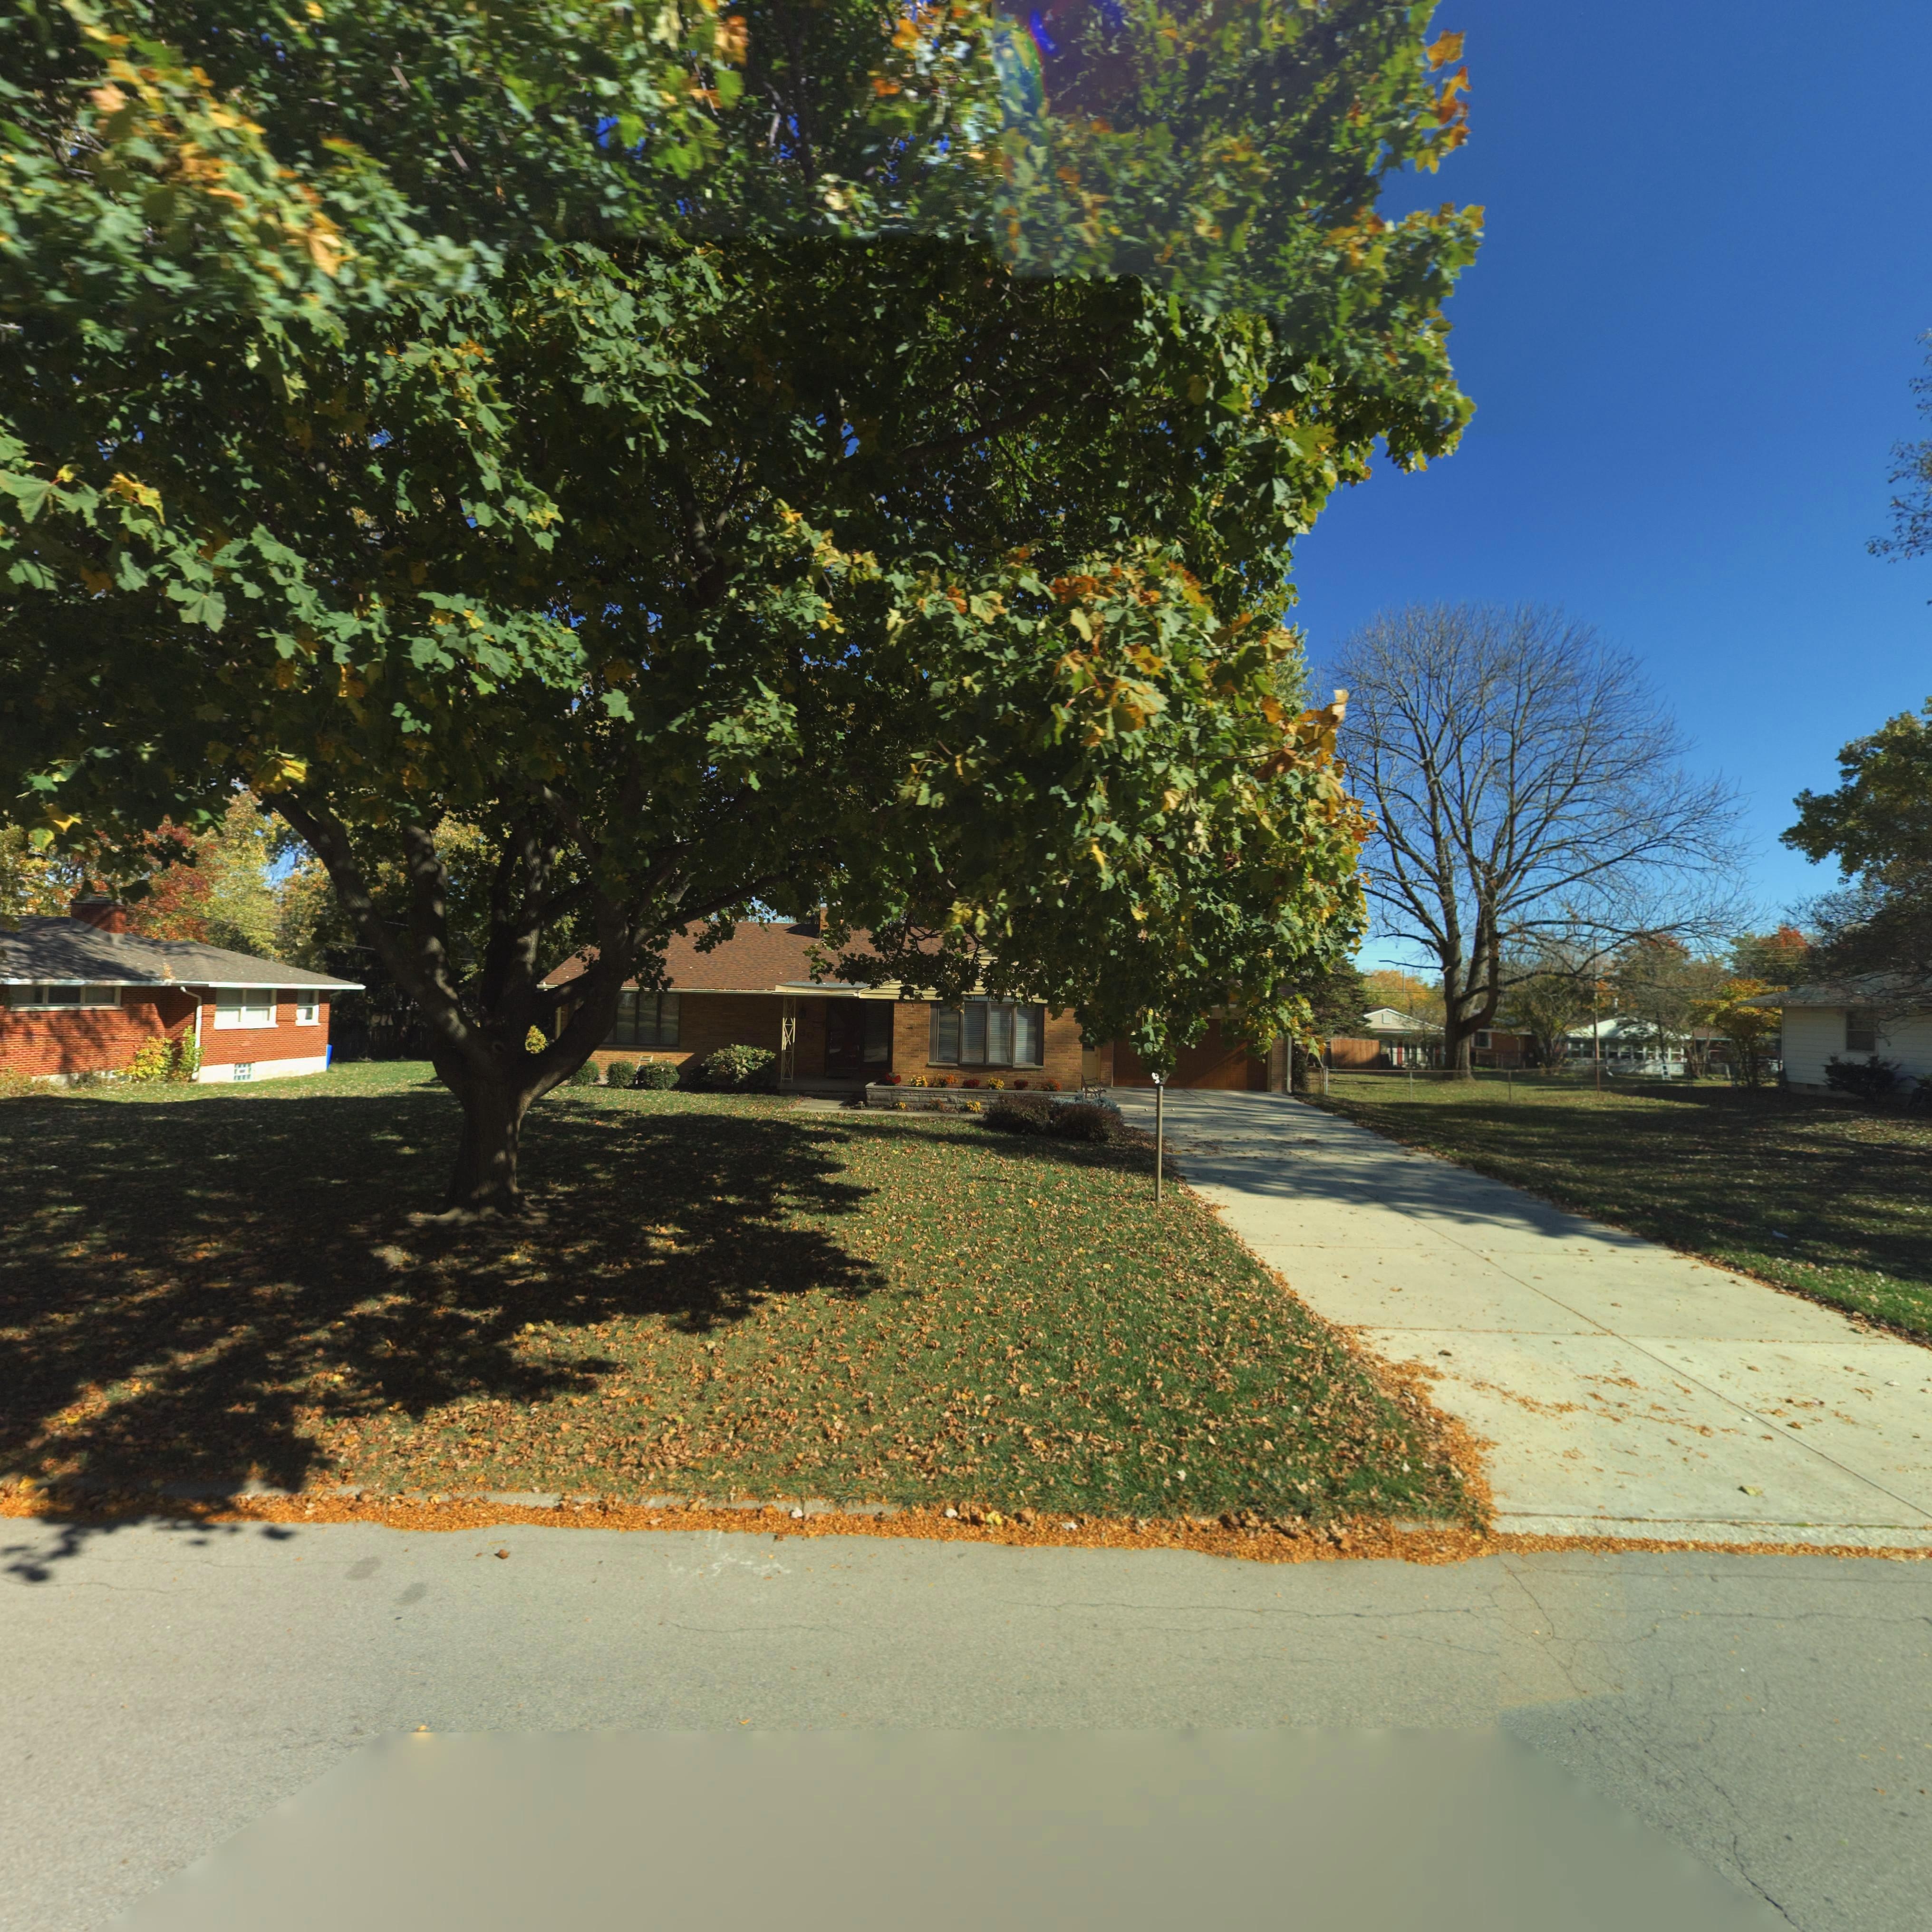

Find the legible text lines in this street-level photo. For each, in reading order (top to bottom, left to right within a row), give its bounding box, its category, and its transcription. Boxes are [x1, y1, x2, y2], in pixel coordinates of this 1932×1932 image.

[799, 1029, 815, 1040] StreetNumber: 30